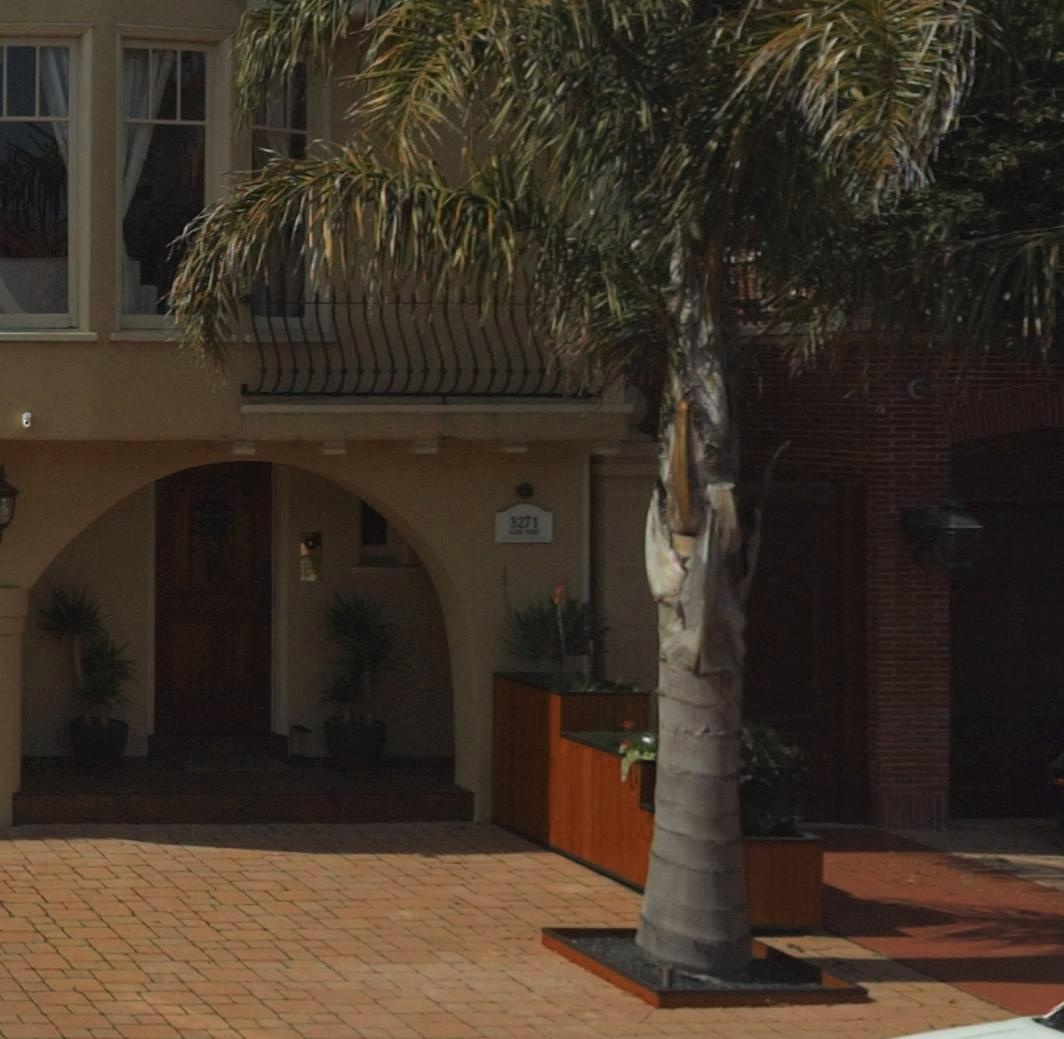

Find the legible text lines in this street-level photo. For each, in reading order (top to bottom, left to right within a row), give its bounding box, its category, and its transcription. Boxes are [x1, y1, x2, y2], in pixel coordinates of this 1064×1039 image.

[507, 514, 539, 531] StreetNumber: 3271